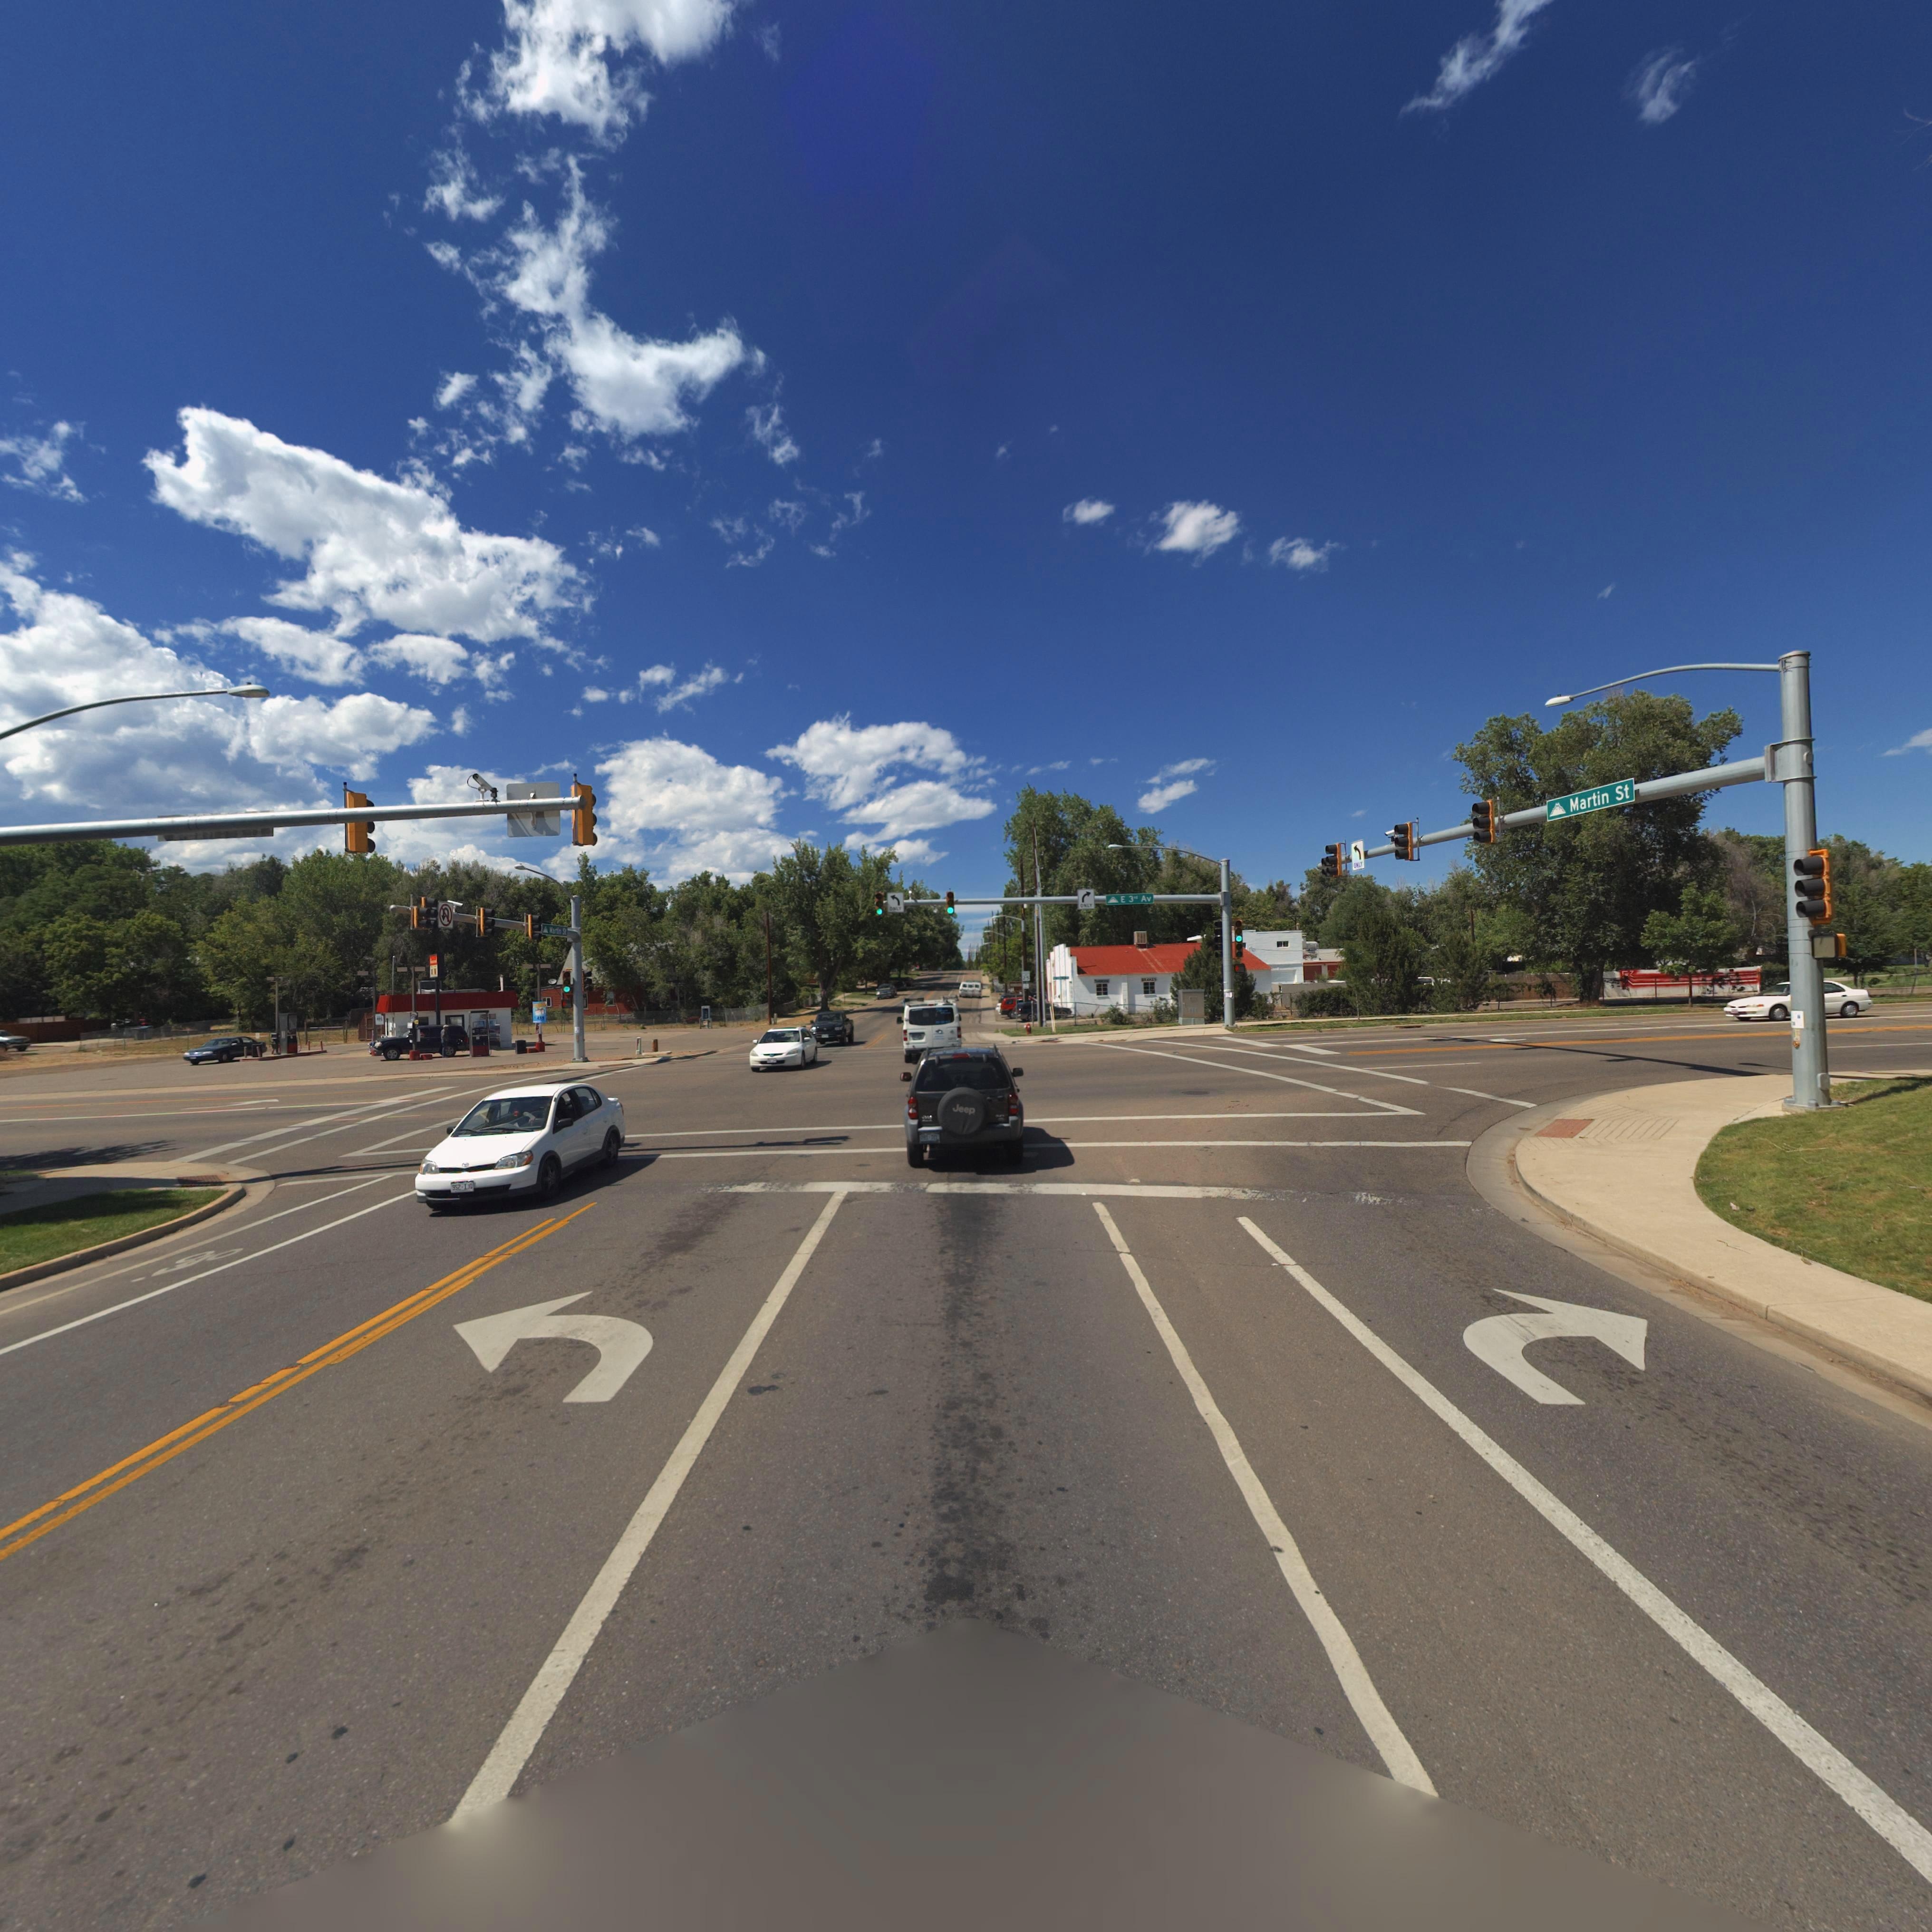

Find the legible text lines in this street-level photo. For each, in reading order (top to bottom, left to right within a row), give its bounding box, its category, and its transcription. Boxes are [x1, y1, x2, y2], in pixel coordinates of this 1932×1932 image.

[1569, 782, 1631, 813] StreetName: Martin St
[1120, 894, 1152, 903] StreetName: E 3rd Av
[549, 926, 567, 935] StreetName: Martin St
[429, 956, 437, 964] BusinessName: G****l